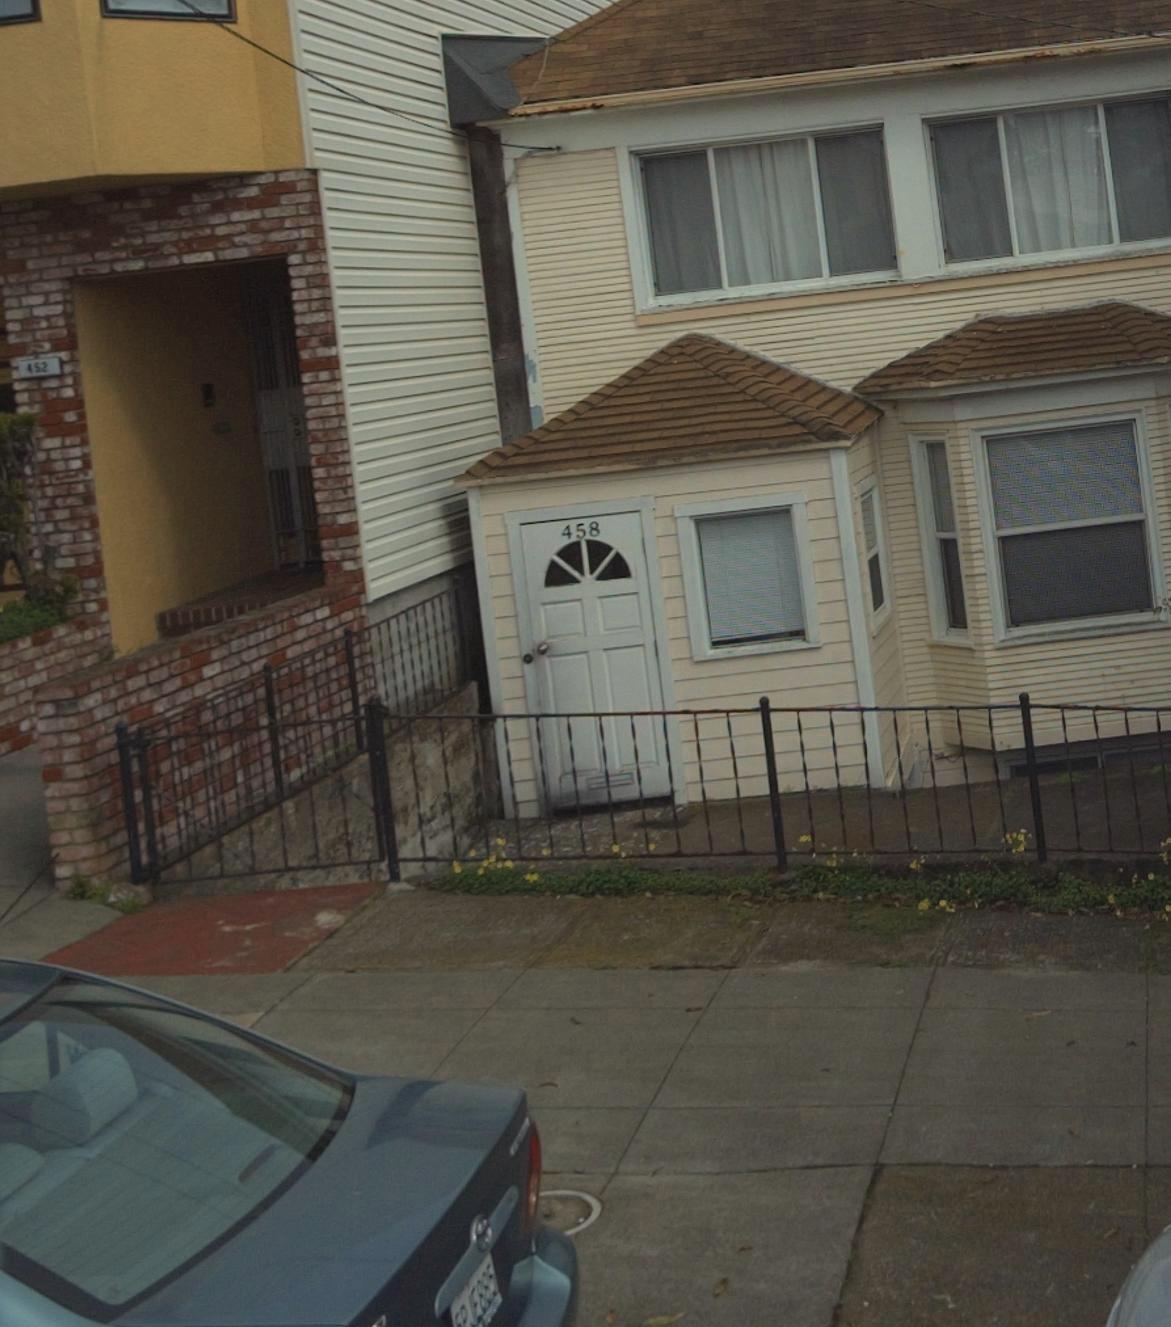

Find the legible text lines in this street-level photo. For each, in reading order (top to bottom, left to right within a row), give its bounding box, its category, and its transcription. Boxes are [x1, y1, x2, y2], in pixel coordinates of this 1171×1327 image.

[24, 360, 49, 374] StreetNumber: 452
[559, 520, 602, 541] StreetNumber: 458
[465, 1261, 500, 1327] None: JE885